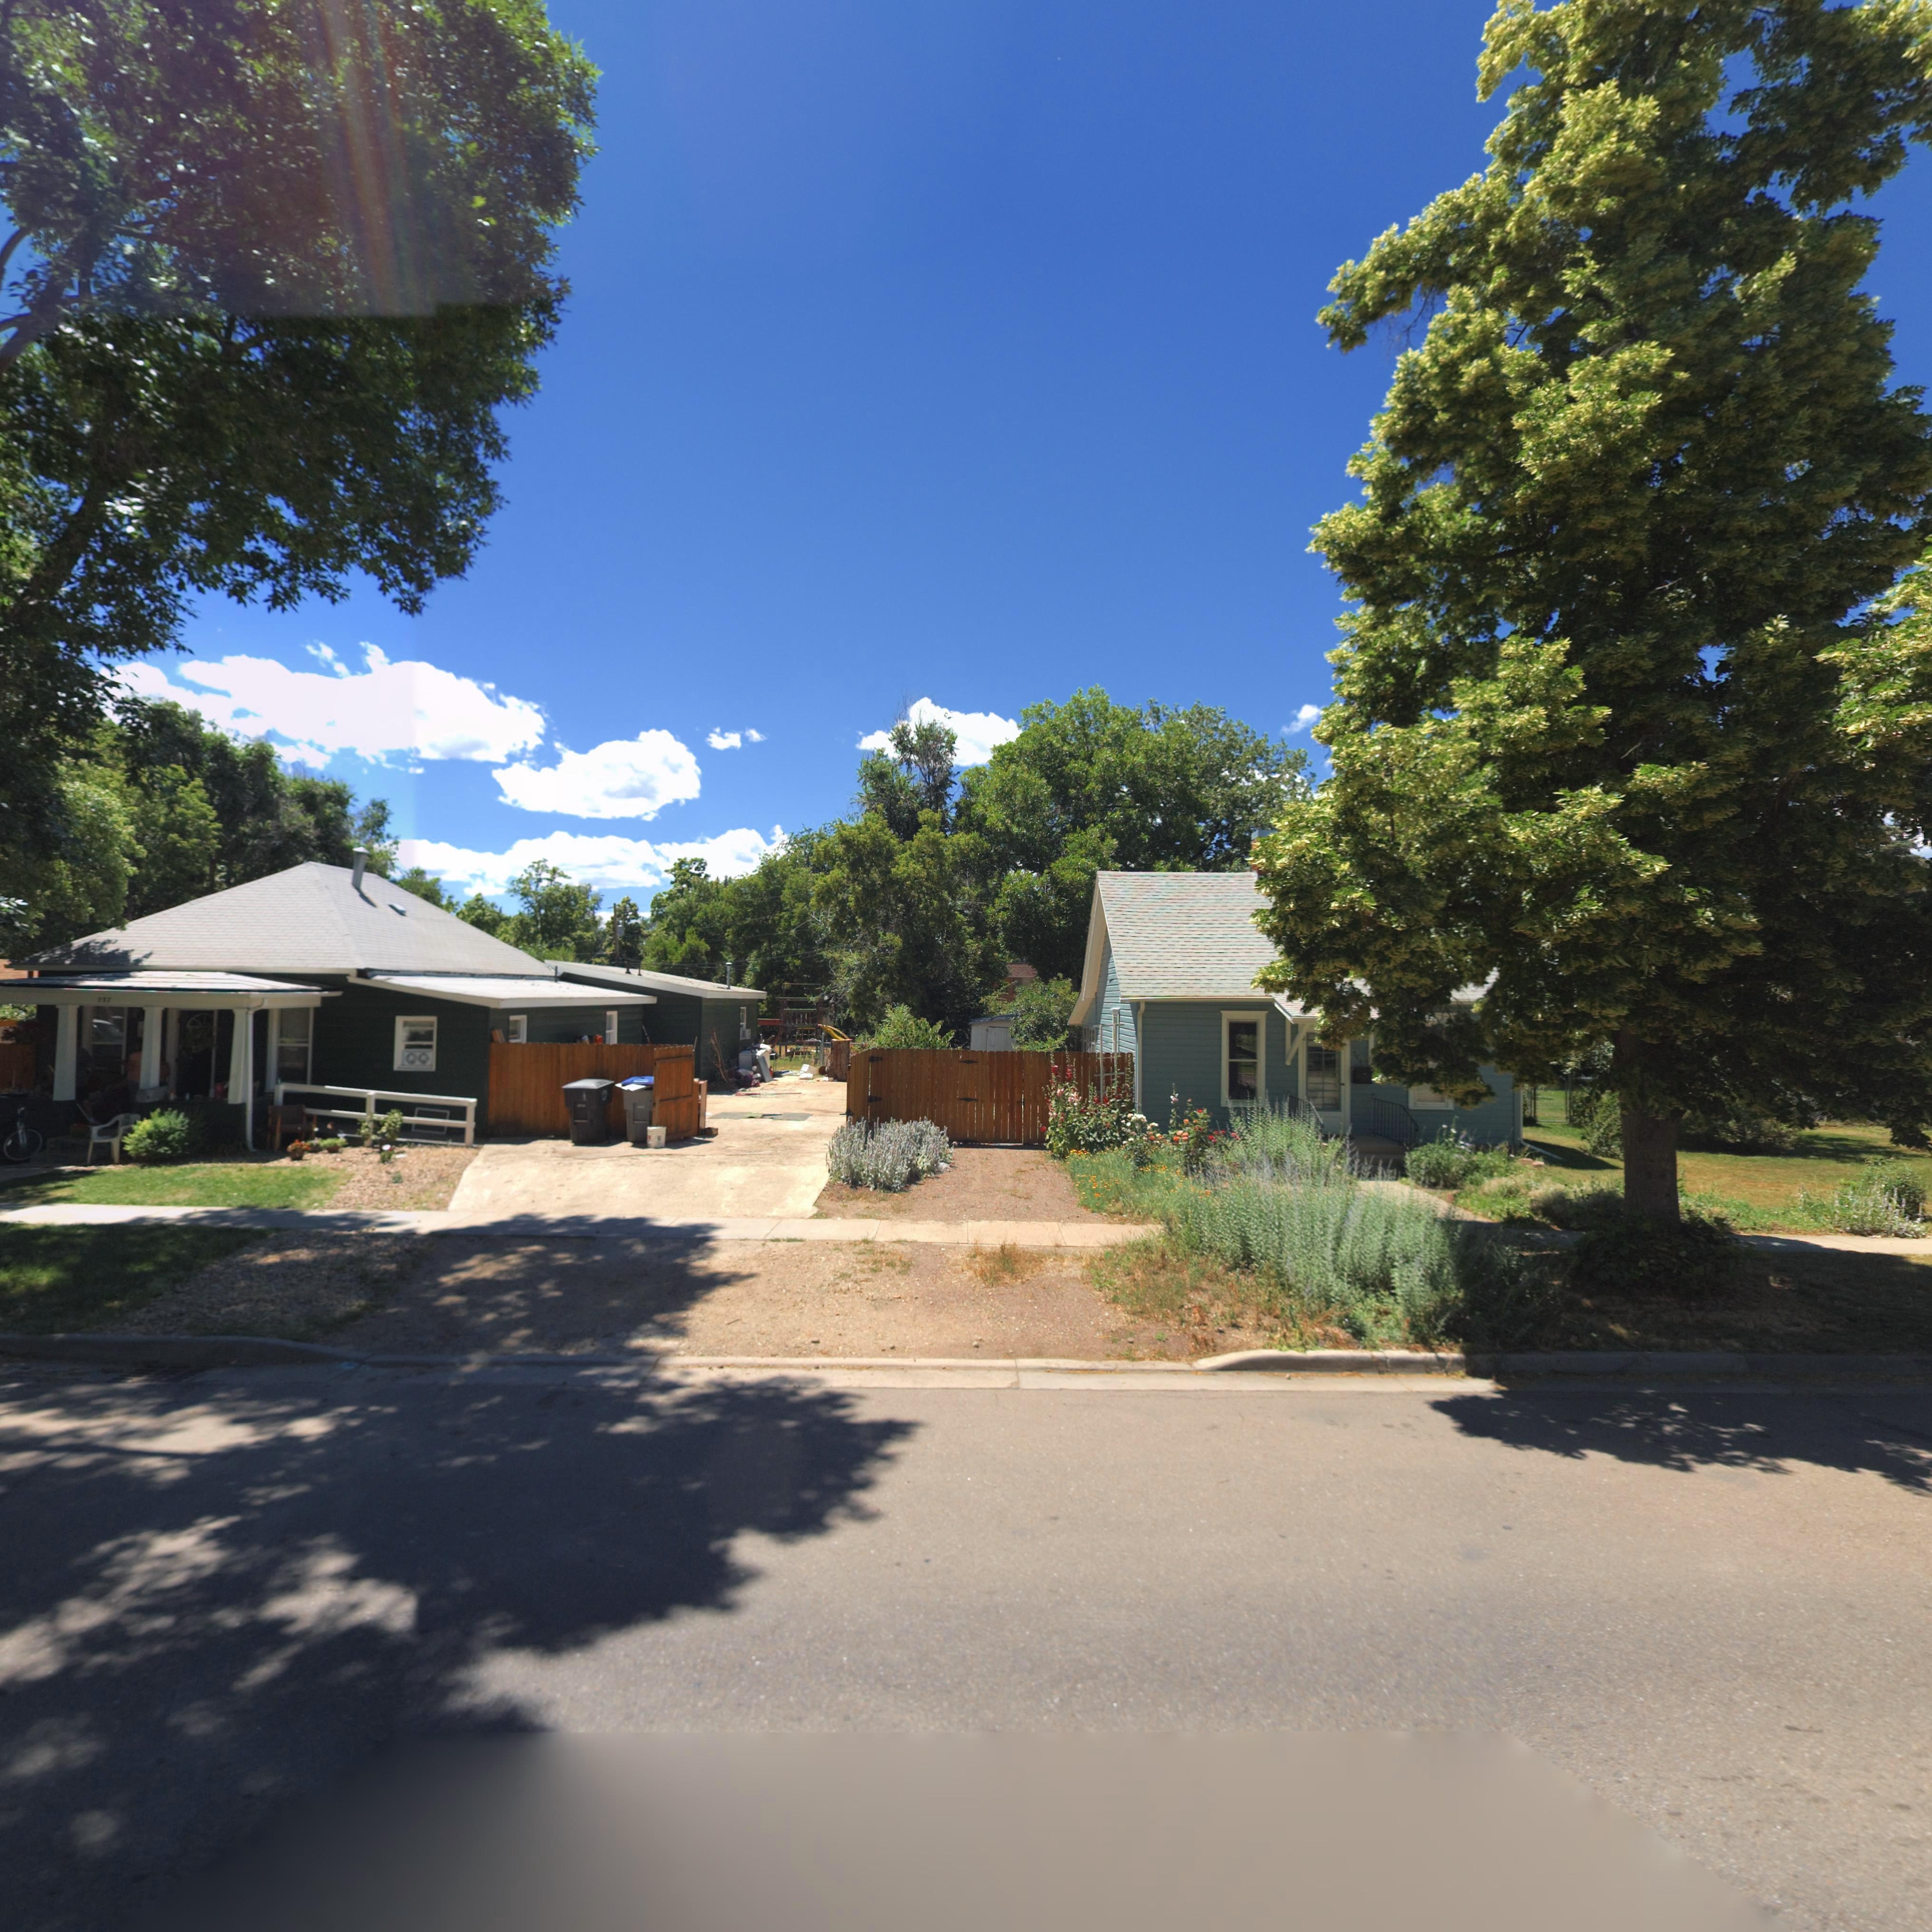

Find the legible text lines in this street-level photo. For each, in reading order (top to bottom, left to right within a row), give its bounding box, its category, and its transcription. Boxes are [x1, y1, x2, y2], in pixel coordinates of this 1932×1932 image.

[97, 997, 111, 1003] StreetNumber: 73*
[1352, 1051, 1362, 1065] StreetNumber: 741